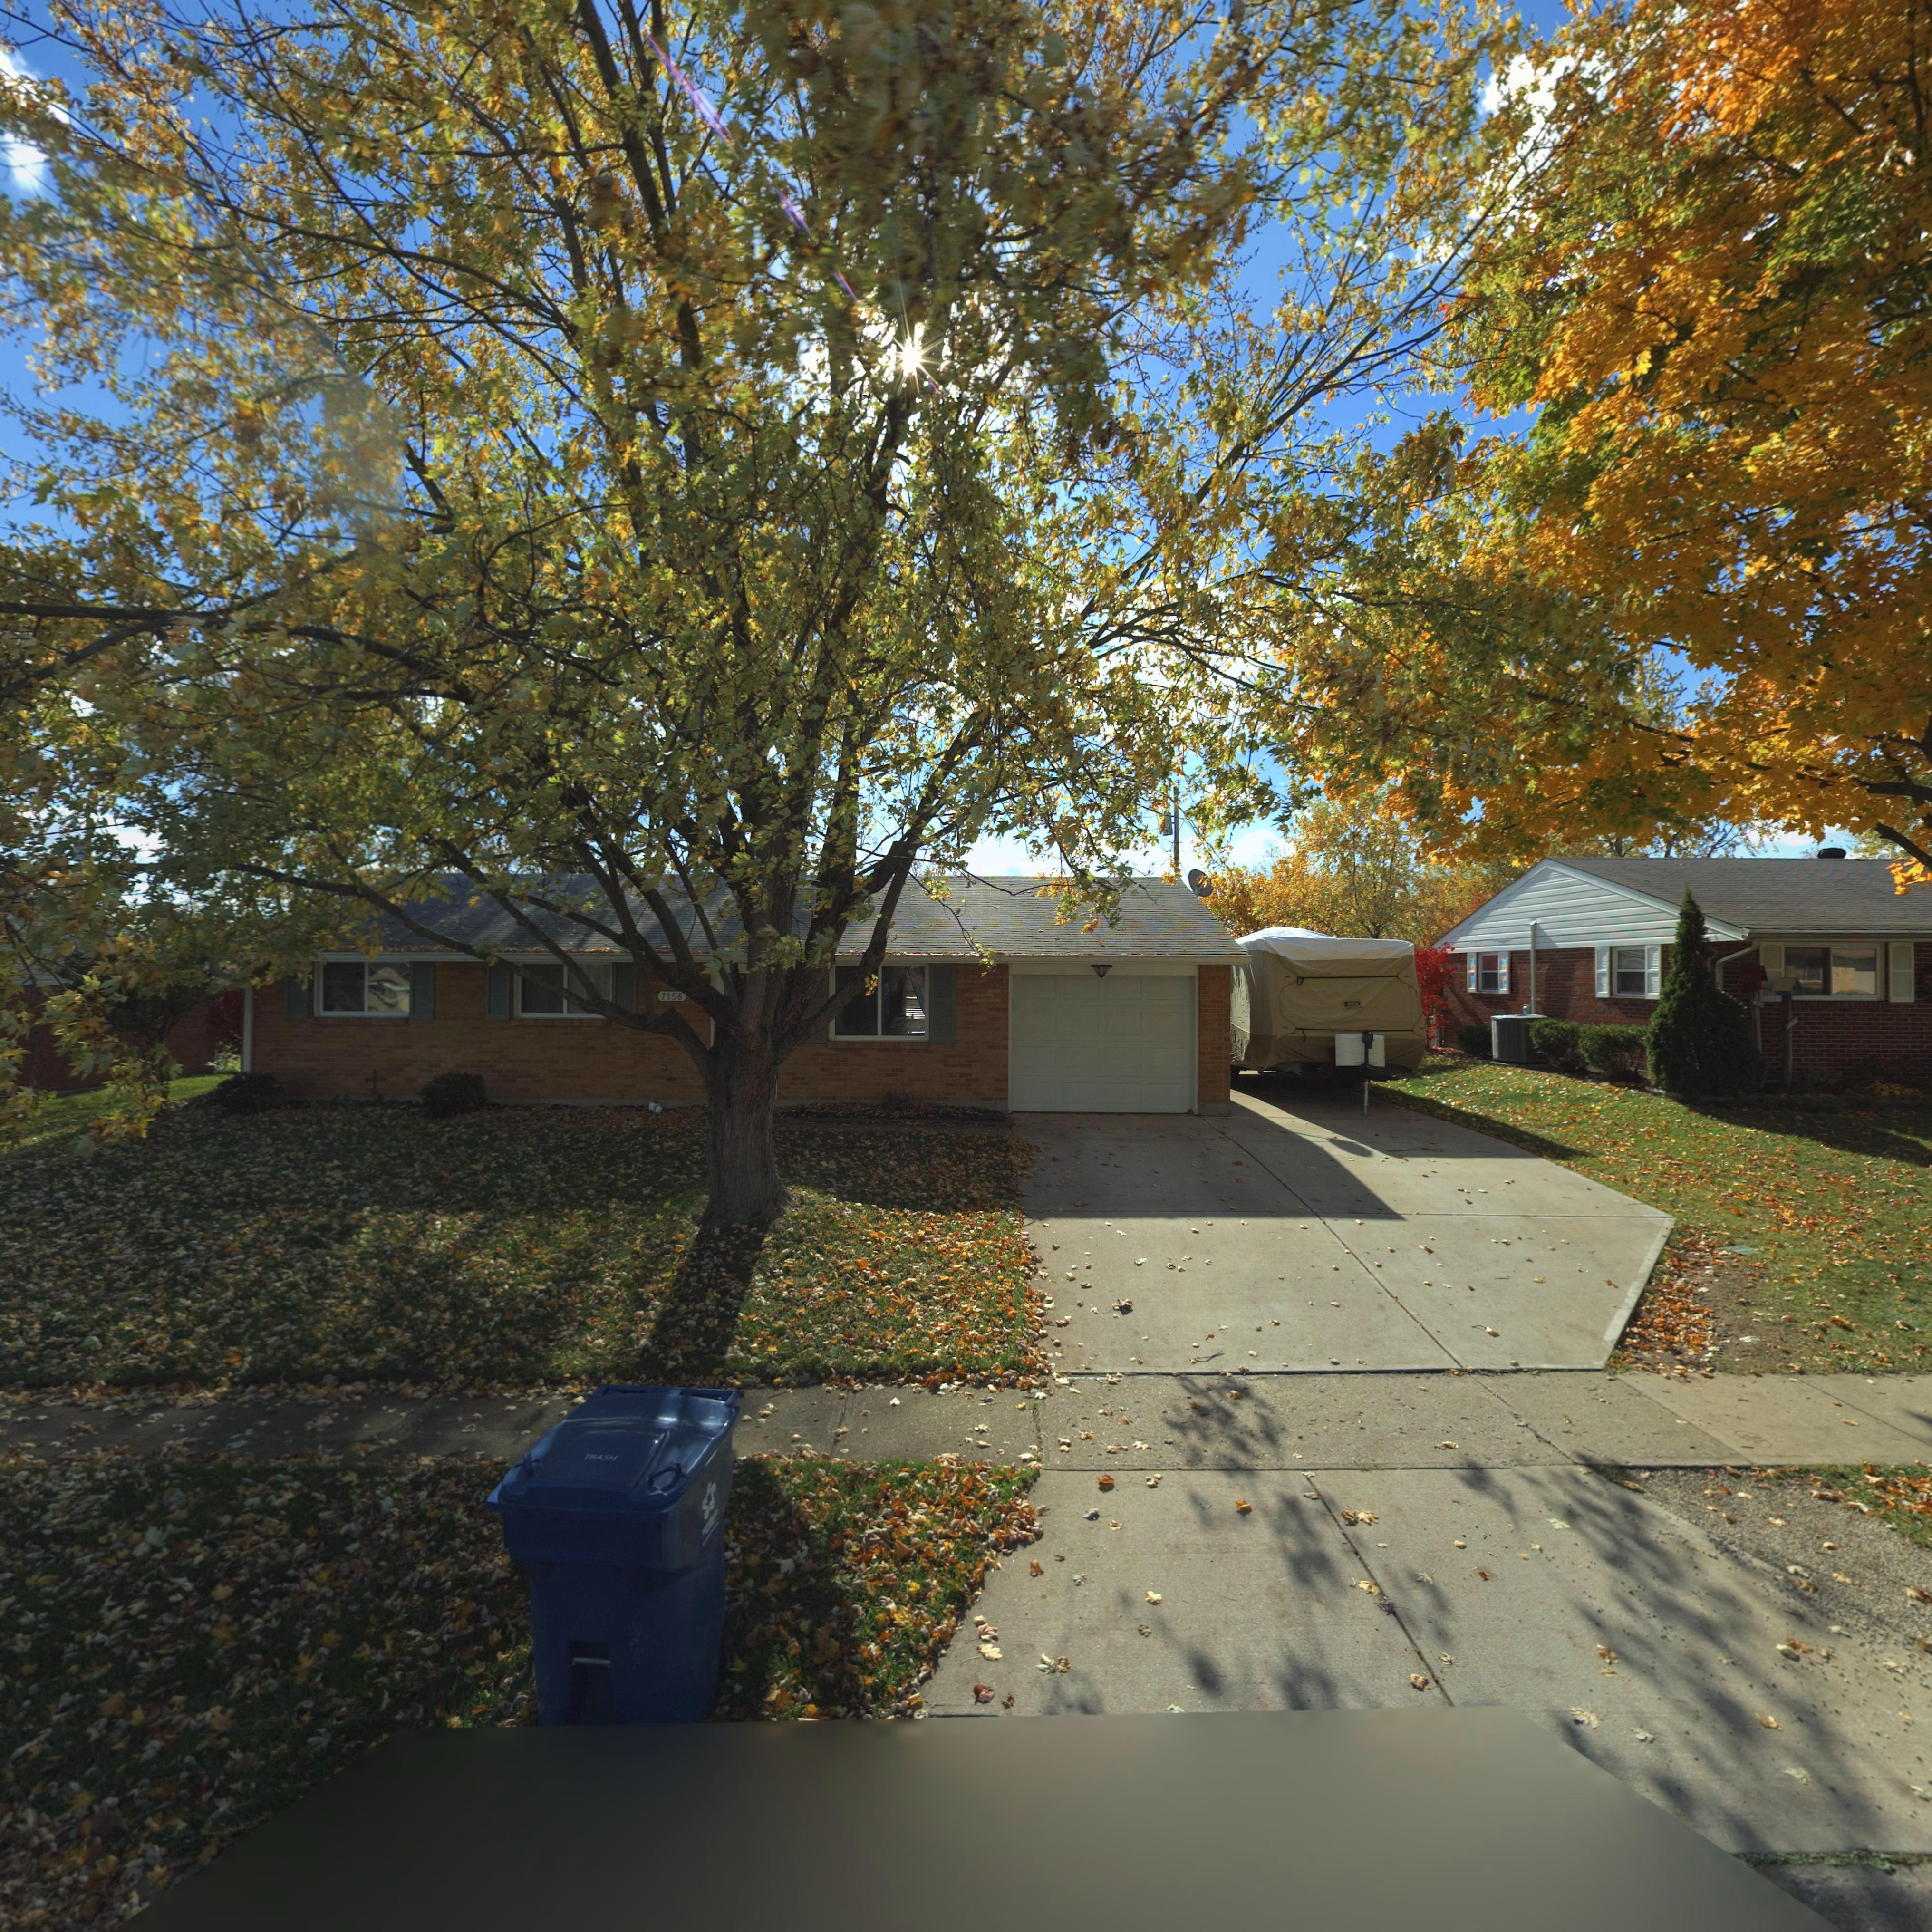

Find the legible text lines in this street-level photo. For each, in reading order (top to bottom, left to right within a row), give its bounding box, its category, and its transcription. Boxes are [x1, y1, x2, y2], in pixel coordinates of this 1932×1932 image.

[660, 992, 684, 1002] StreetNumber: 7156